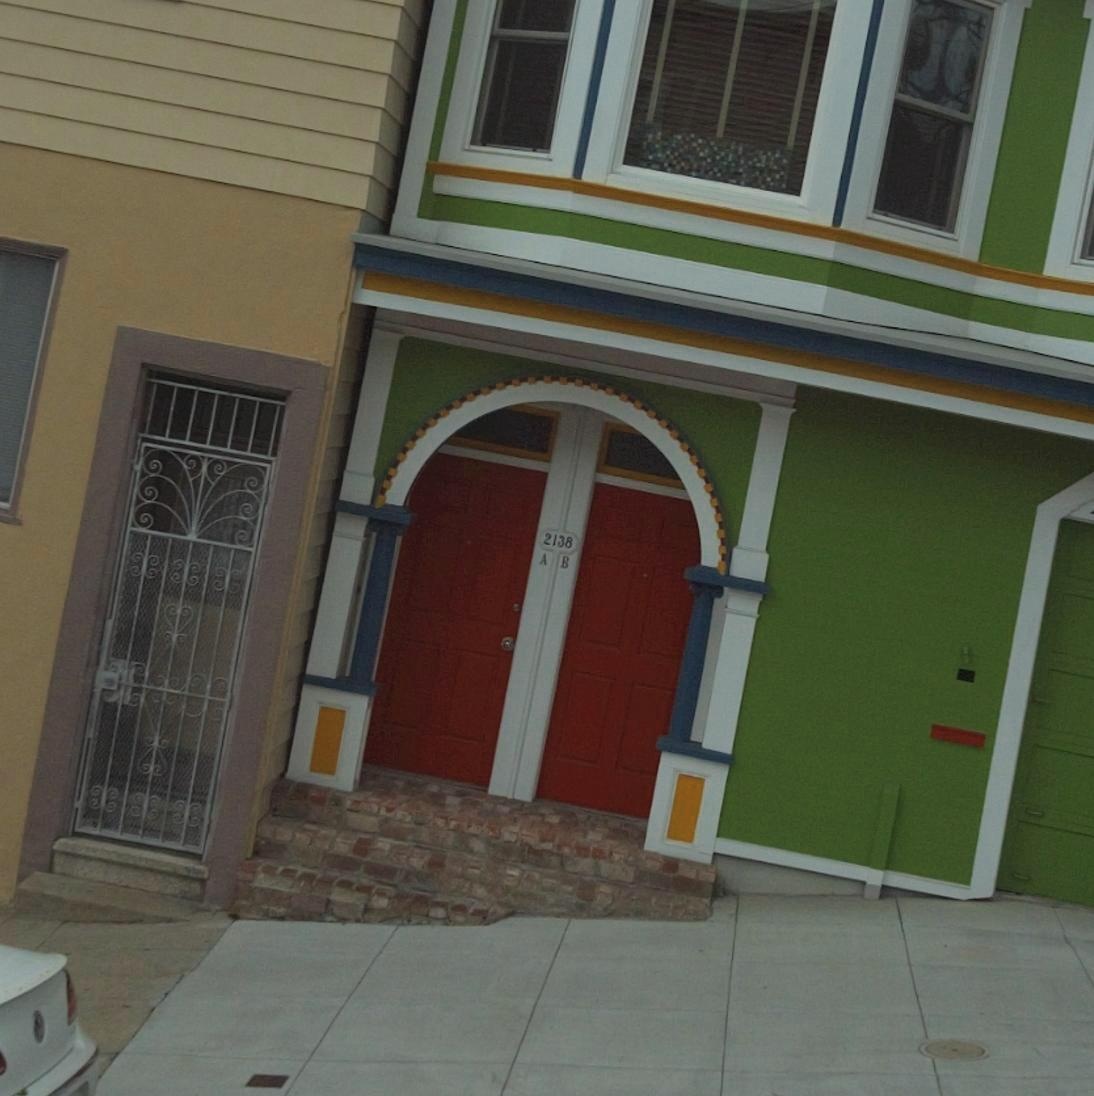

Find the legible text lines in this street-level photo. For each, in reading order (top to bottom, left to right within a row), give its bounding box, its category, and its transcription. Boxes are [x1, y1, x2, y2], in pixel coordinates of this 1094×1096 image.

[542, 532, 574, 550] StreetNumber: 2138
[538, 552, 548, 566] StreetNumber: A
[559, 555, 571, 570] StreetNumber: B